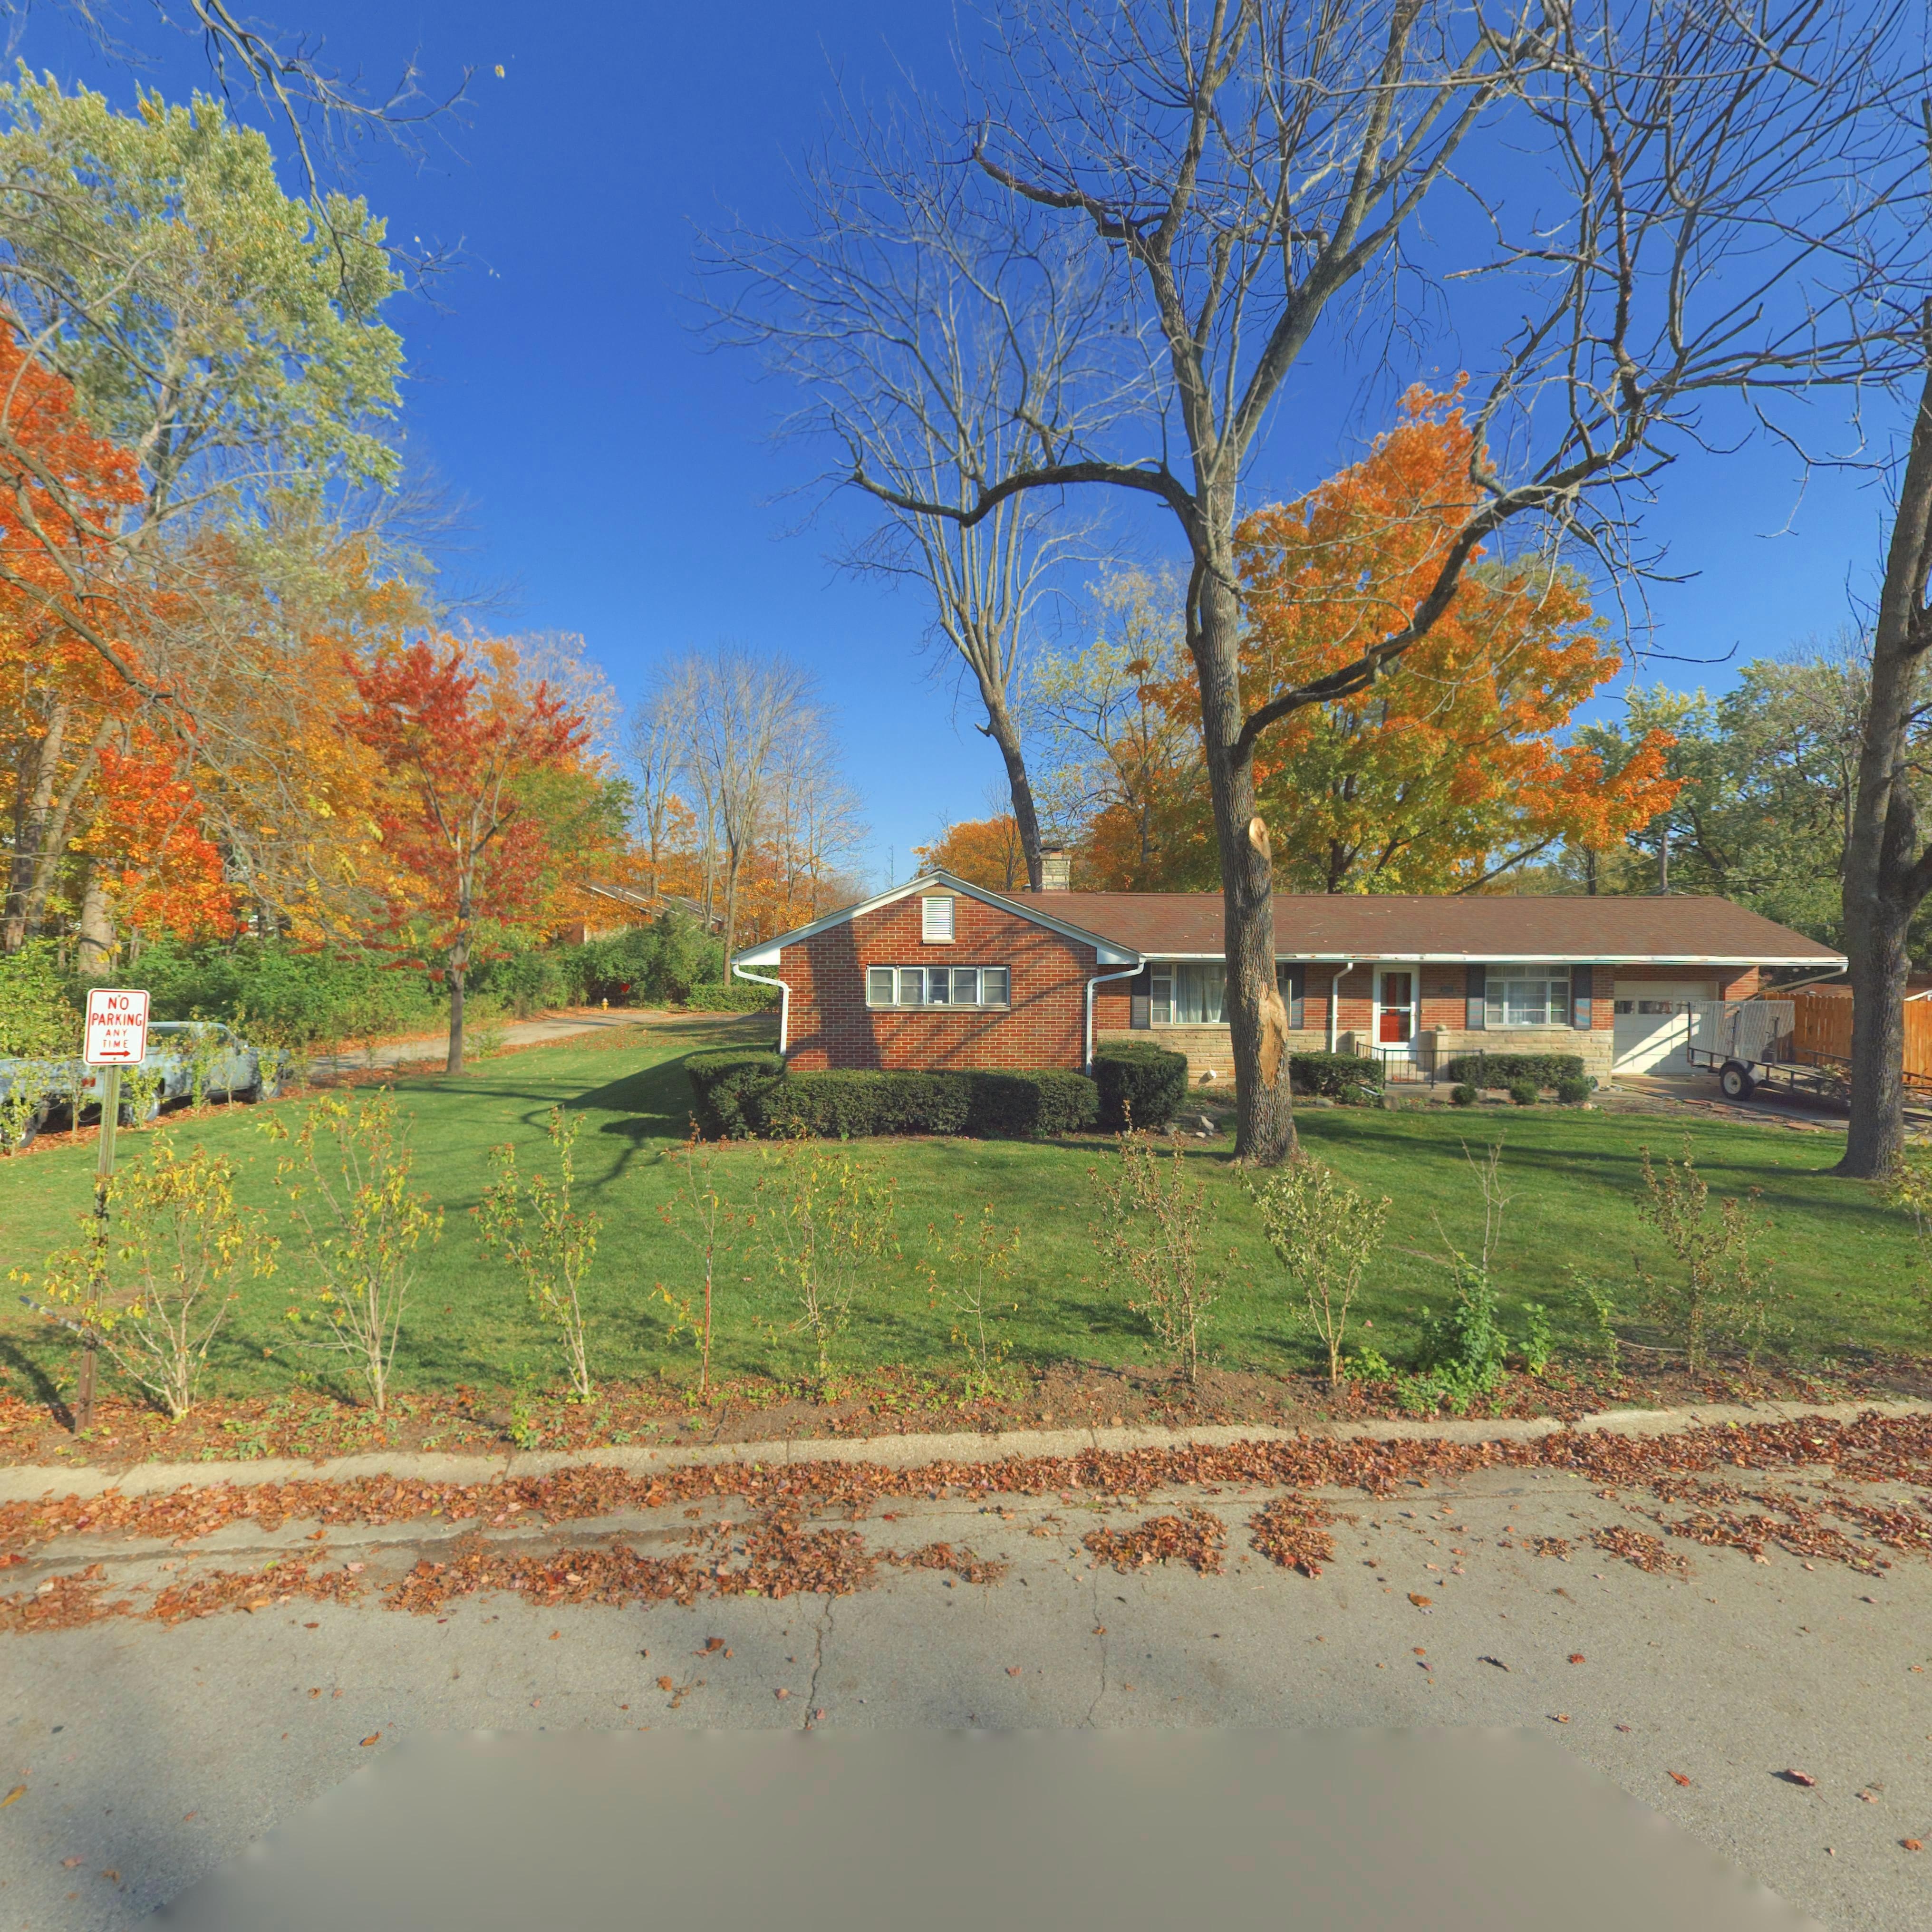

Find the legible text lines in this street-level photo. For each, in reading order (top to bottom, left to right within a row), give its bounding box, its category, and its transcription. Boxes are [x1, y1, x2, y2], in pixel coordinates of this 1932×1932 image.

[107, 996, 130, 1011] None: NO
[90, 1012, 143, 1027] None: PARKING
[104, 1028, 128, 1037] None: ANY
[101, 1038, 129, 1049] None: TIME